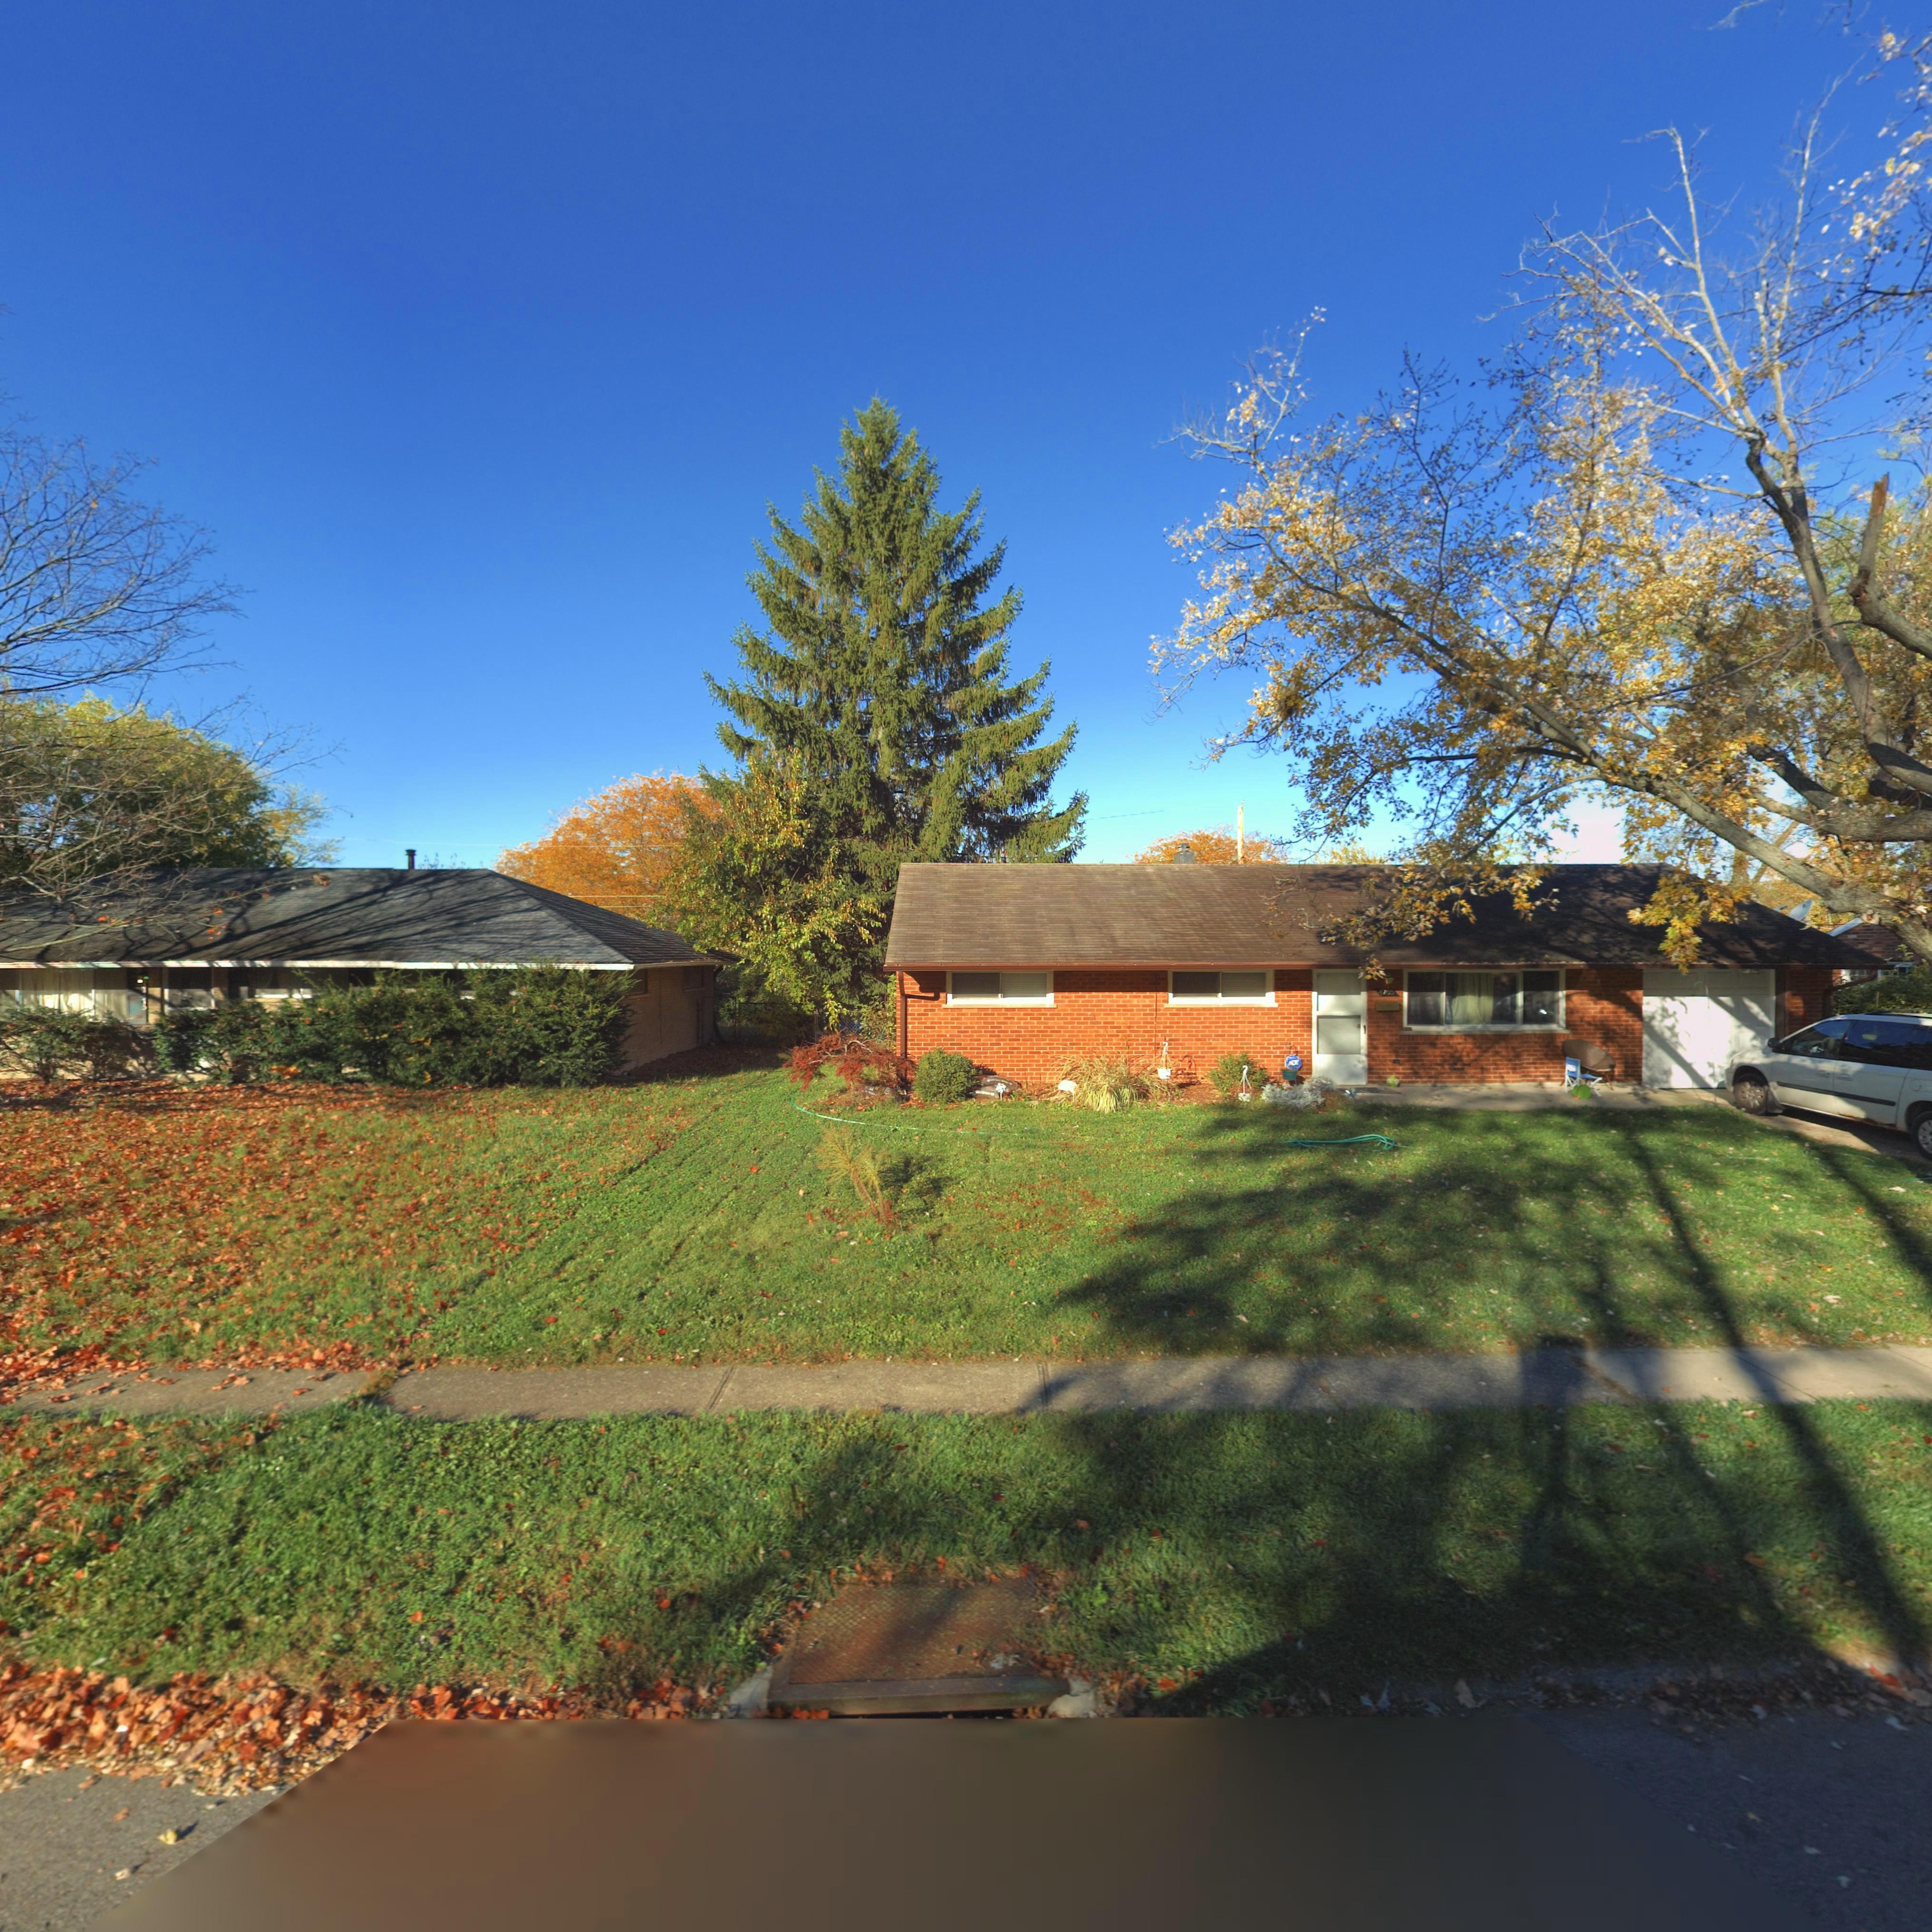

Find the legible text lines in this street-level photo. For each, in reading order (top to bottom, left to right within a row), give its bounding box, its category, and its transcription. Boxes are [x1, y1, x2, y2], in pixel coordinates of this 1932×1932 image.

[1378, 988, 1396, 996] StreetNumber: 4765